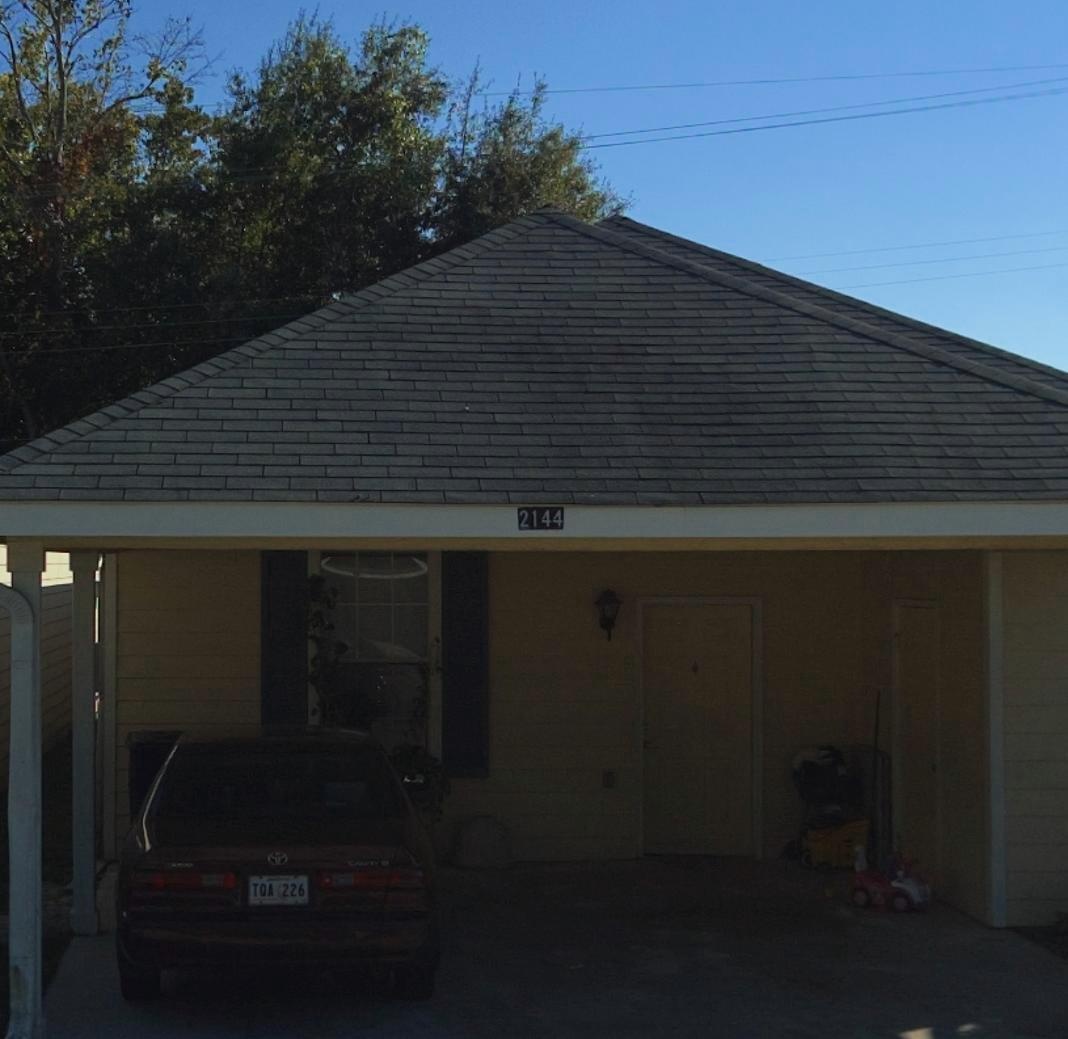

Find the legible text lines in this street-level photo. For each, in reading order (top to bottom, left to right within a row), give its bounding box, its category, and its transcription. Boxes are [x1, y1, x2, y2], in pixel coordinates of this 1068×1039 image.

[519, 508, 563, 529] StreetNumber: 2144
[251, 881, 307, 898] None: TQA 226